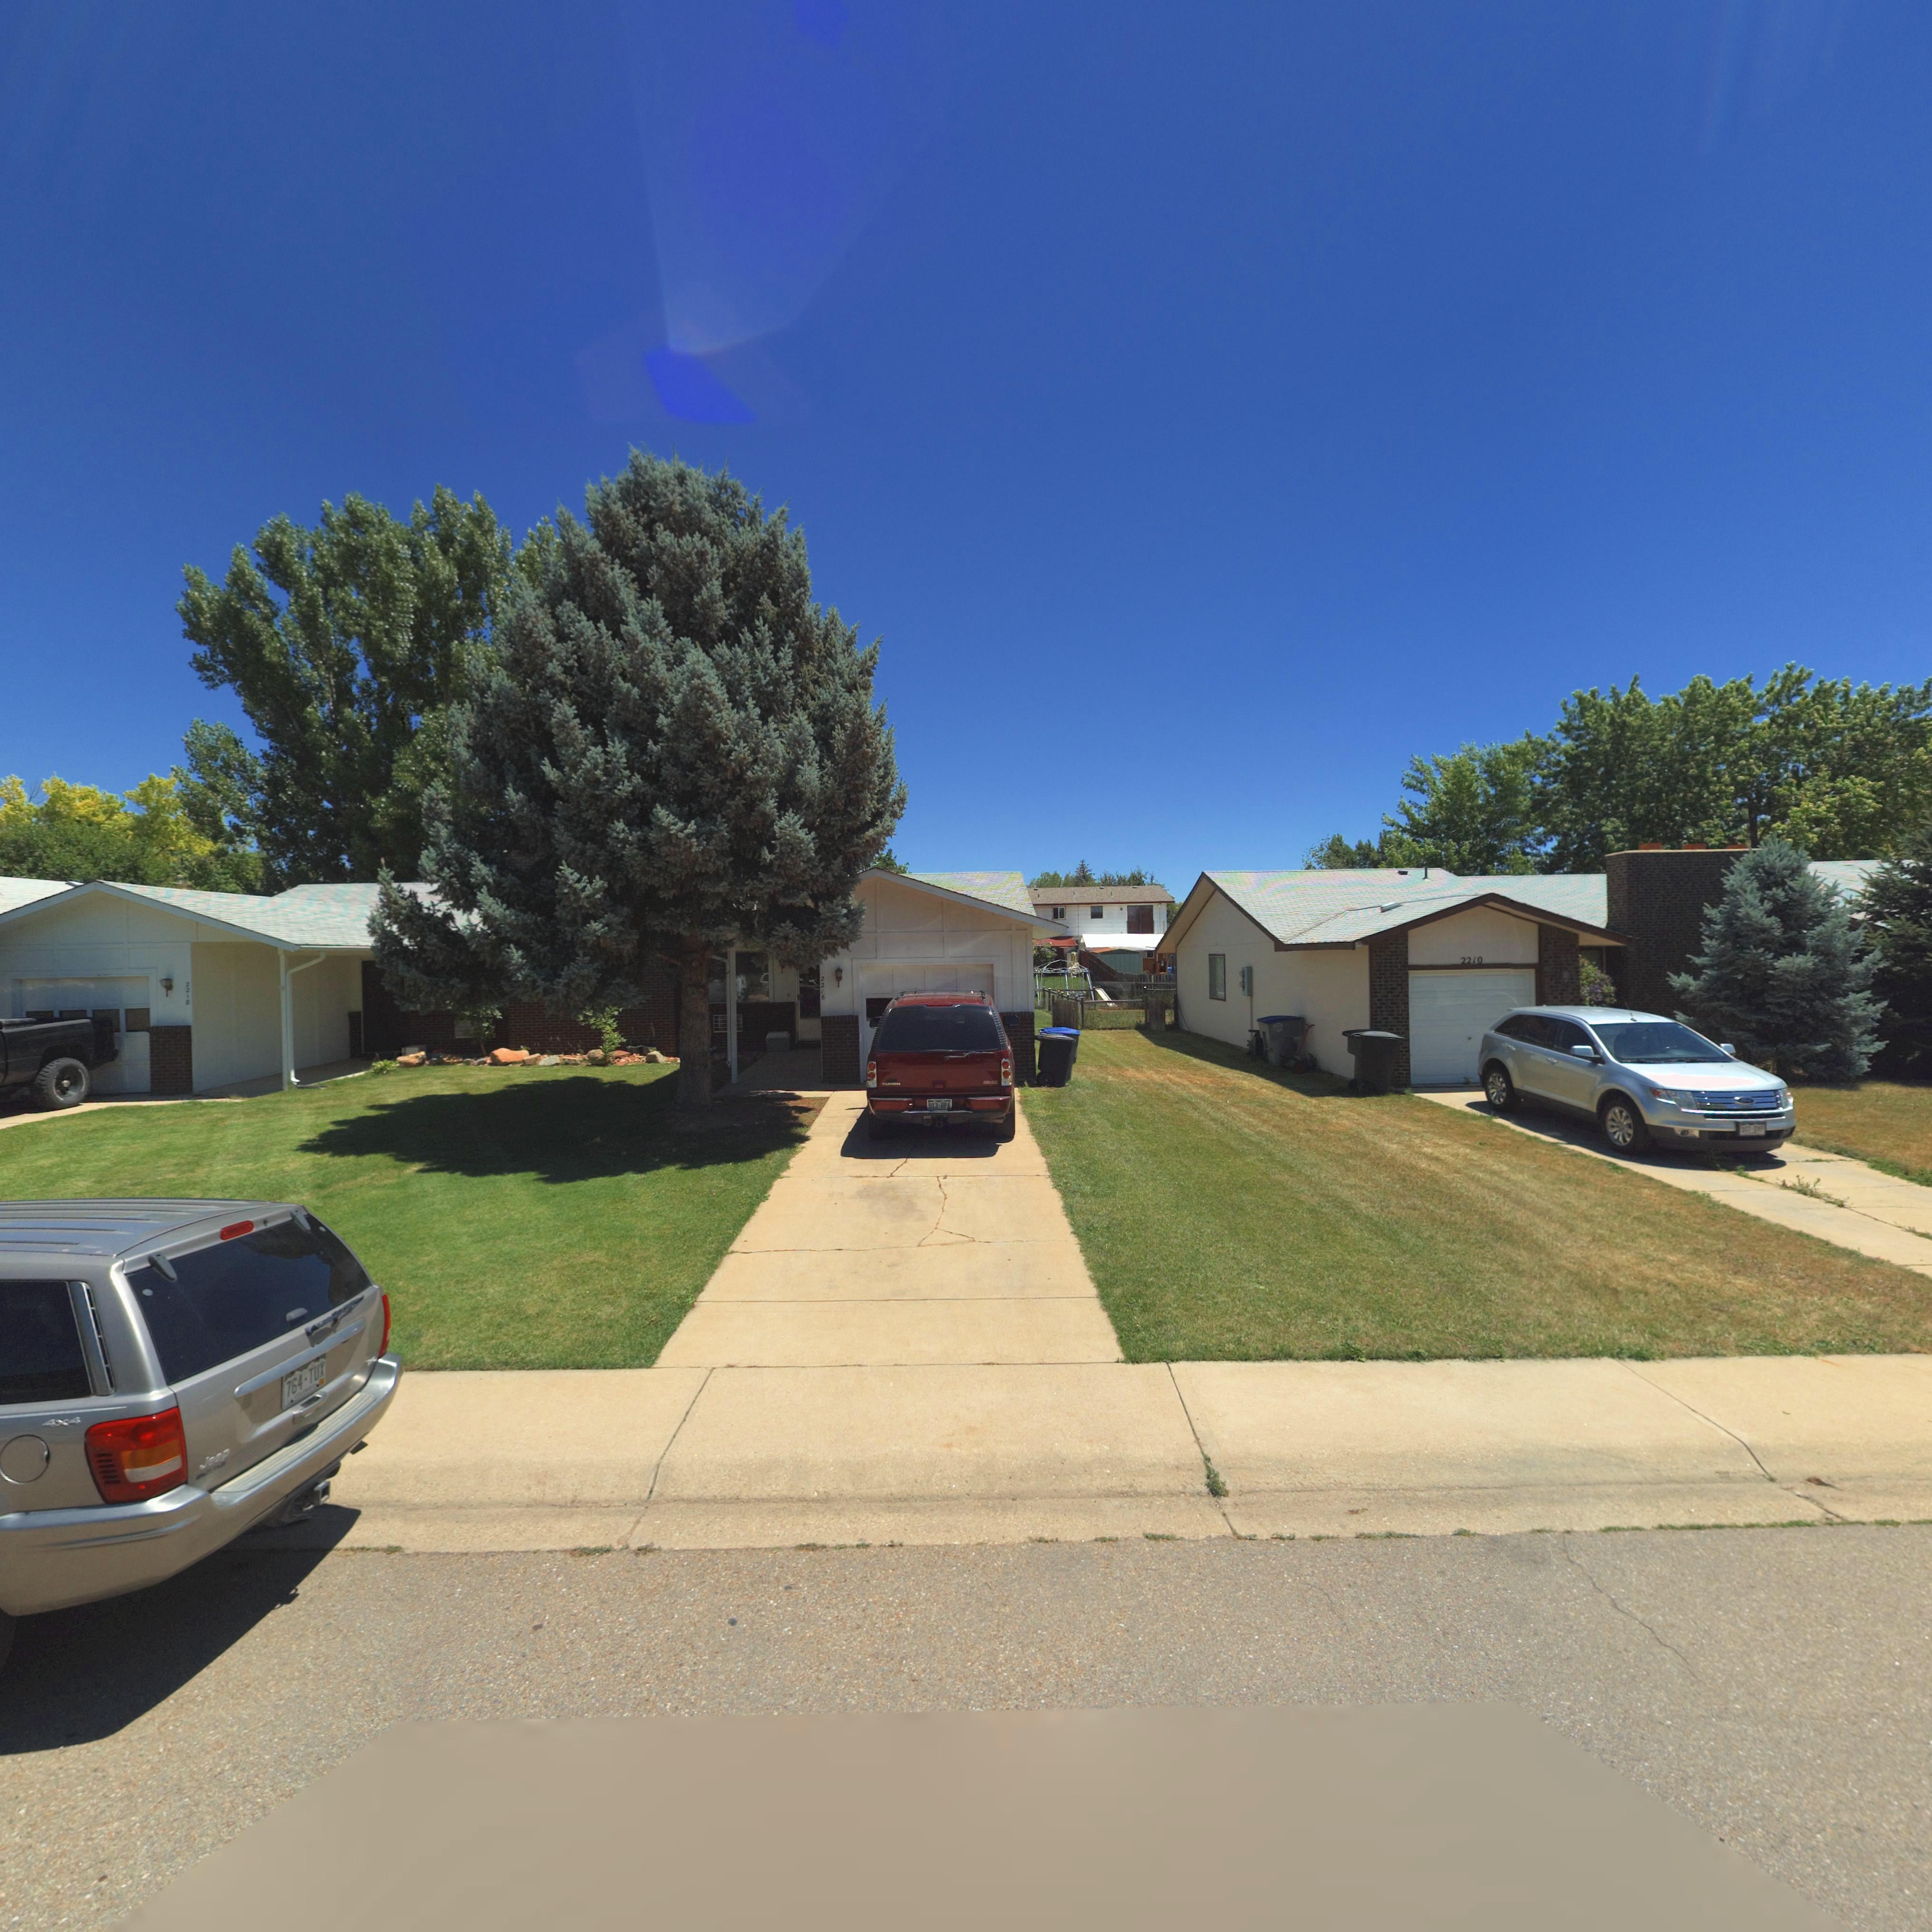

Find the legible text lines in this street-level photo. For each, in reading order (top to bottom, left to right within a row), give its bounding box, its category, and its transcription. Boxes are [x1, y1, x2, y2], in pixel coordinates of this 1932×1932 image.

[1460, 956, 1482, 964] StreetNumber: 2210
[185, 981, 190, 1005] StreetNumber: 2218
[821, 976, 825, 1000] StreetNumber: 2216